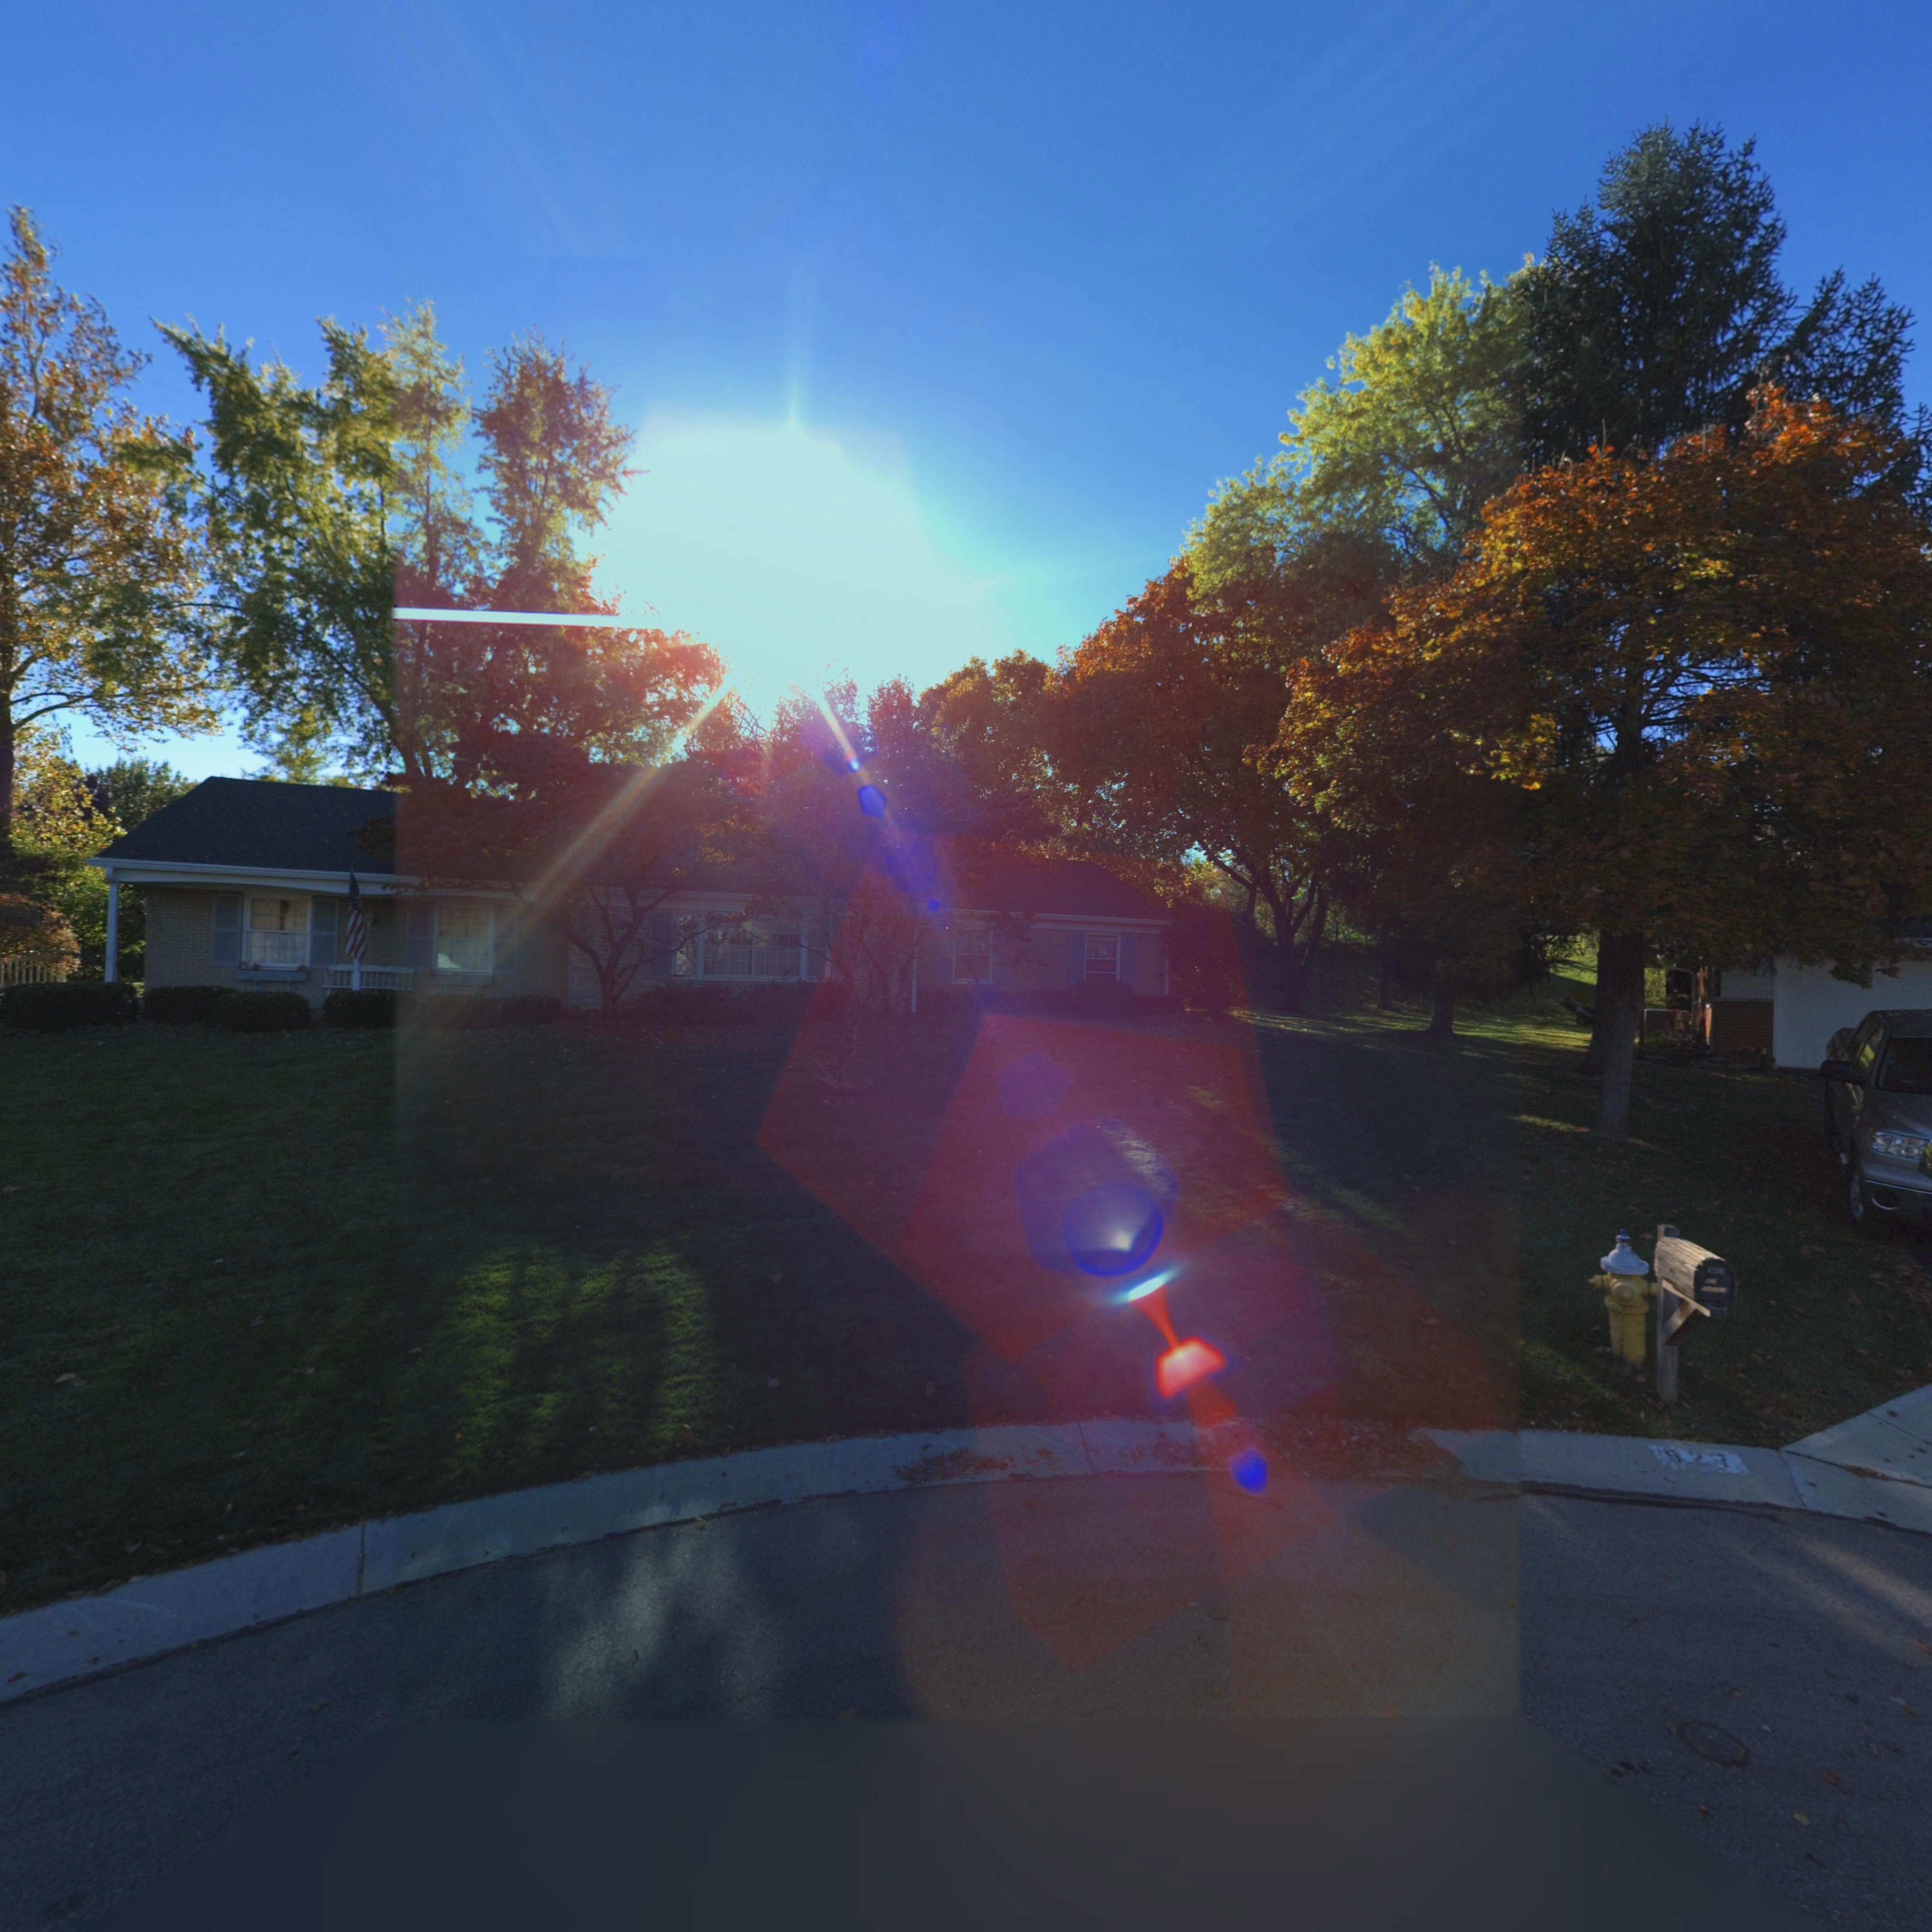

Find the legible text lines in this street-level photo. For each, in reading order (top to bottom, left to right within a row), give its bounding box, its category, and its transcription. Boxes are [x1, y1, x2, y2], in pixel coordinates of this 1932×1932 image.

[1657, 1446, 1740, 1473] StreetNumber: 9**